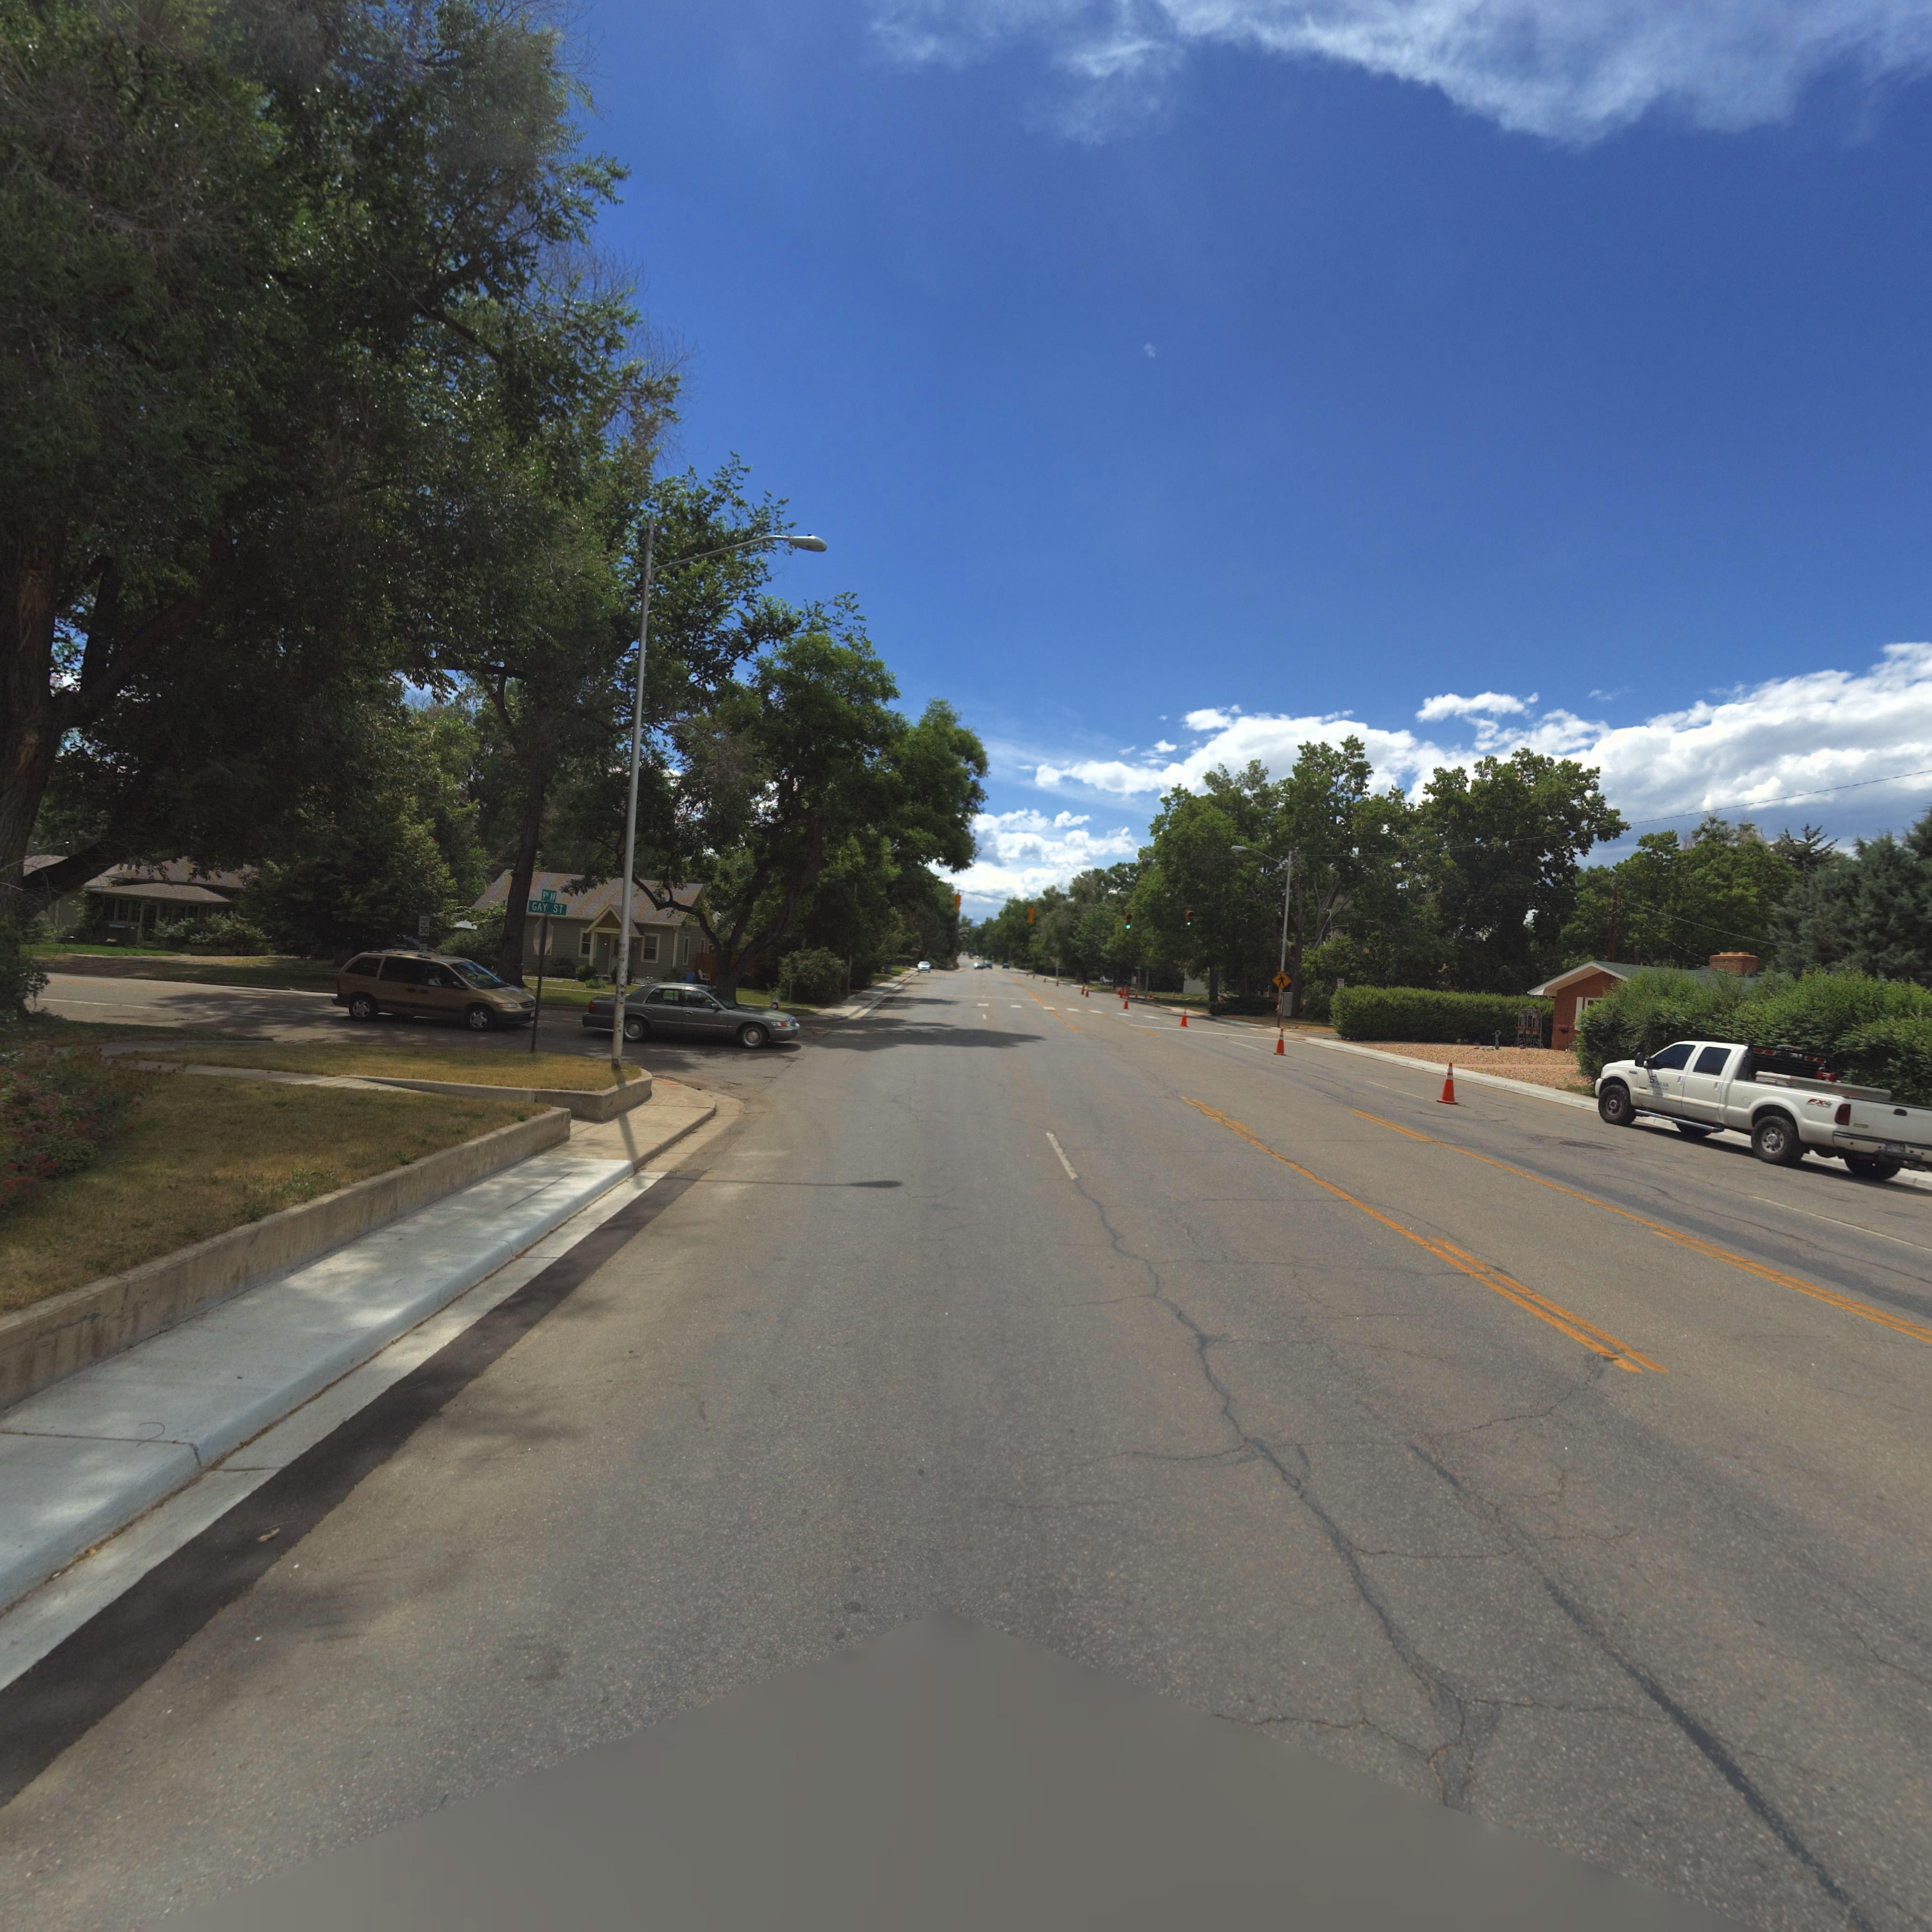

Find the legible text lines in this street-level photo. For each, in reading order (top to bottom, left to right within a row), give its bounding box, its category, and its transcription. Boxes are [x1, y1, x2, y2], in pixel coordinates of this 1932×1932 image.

[542, 891, 556, 901] StreetName: 9TH AV
[531, 901, 564, 914] StreetName: GAY ST